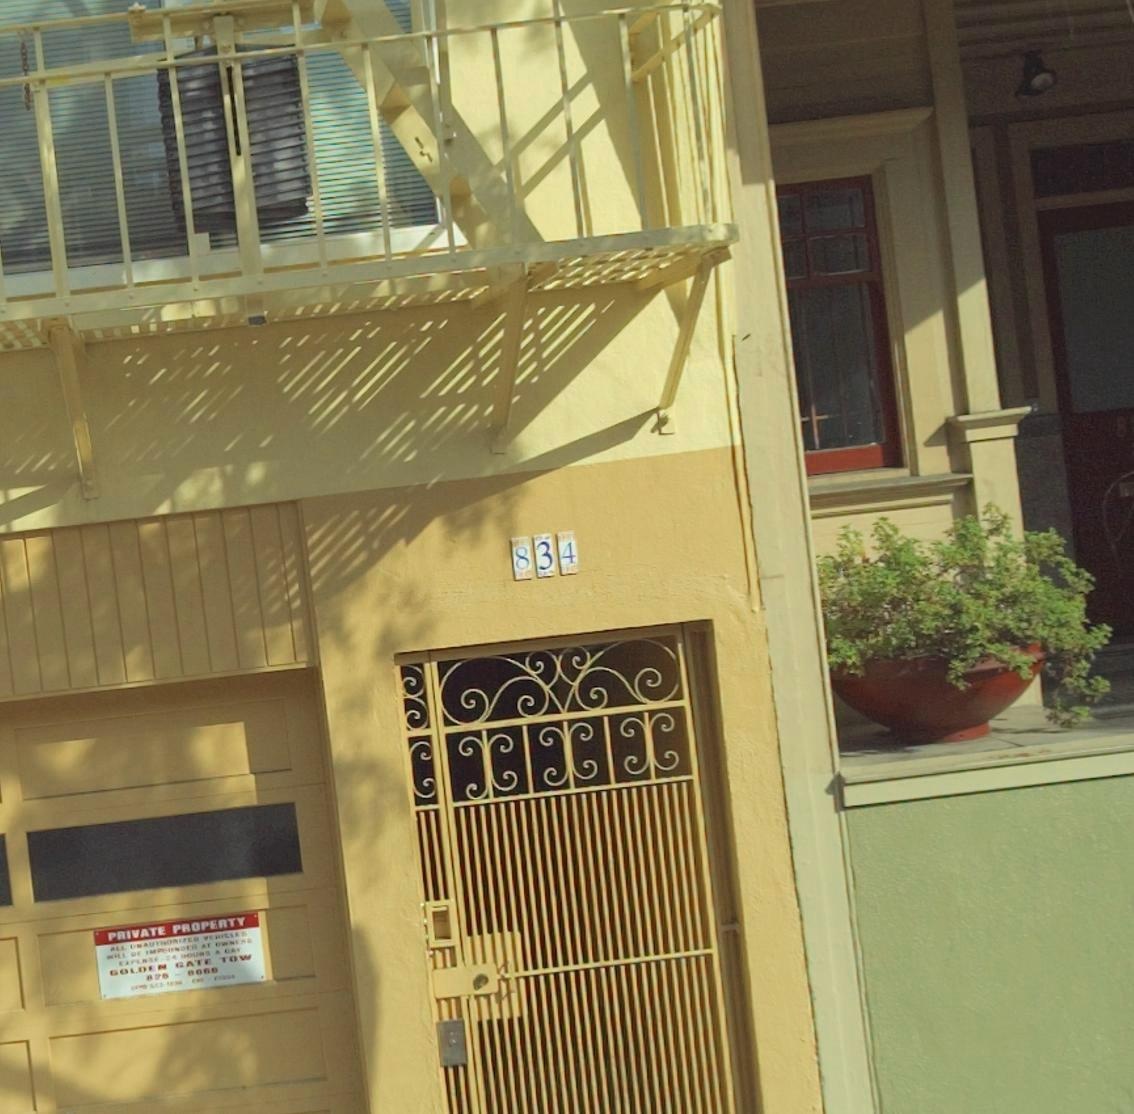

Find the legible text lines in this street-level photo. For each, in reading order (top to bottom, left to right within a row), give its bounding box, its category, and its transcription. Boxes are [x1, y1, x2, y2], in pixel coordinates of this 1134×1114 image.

[513, 539, 577, 571] StreetNumber: 834
[106, 914, 249, 944] None: PRIVATE PROPERTY
[107, 929, 248, 953] None: ALL UNAUTHORIZED VEHICLES
[105, 937, 254, 960] None: WILL BE IMPOUNDED AT OWENERS
[108, 953, 254, 977] None: GOLDEN GATE TOW
[117, 947, 246, 969] None: EXPENSE ** ***** A DAY